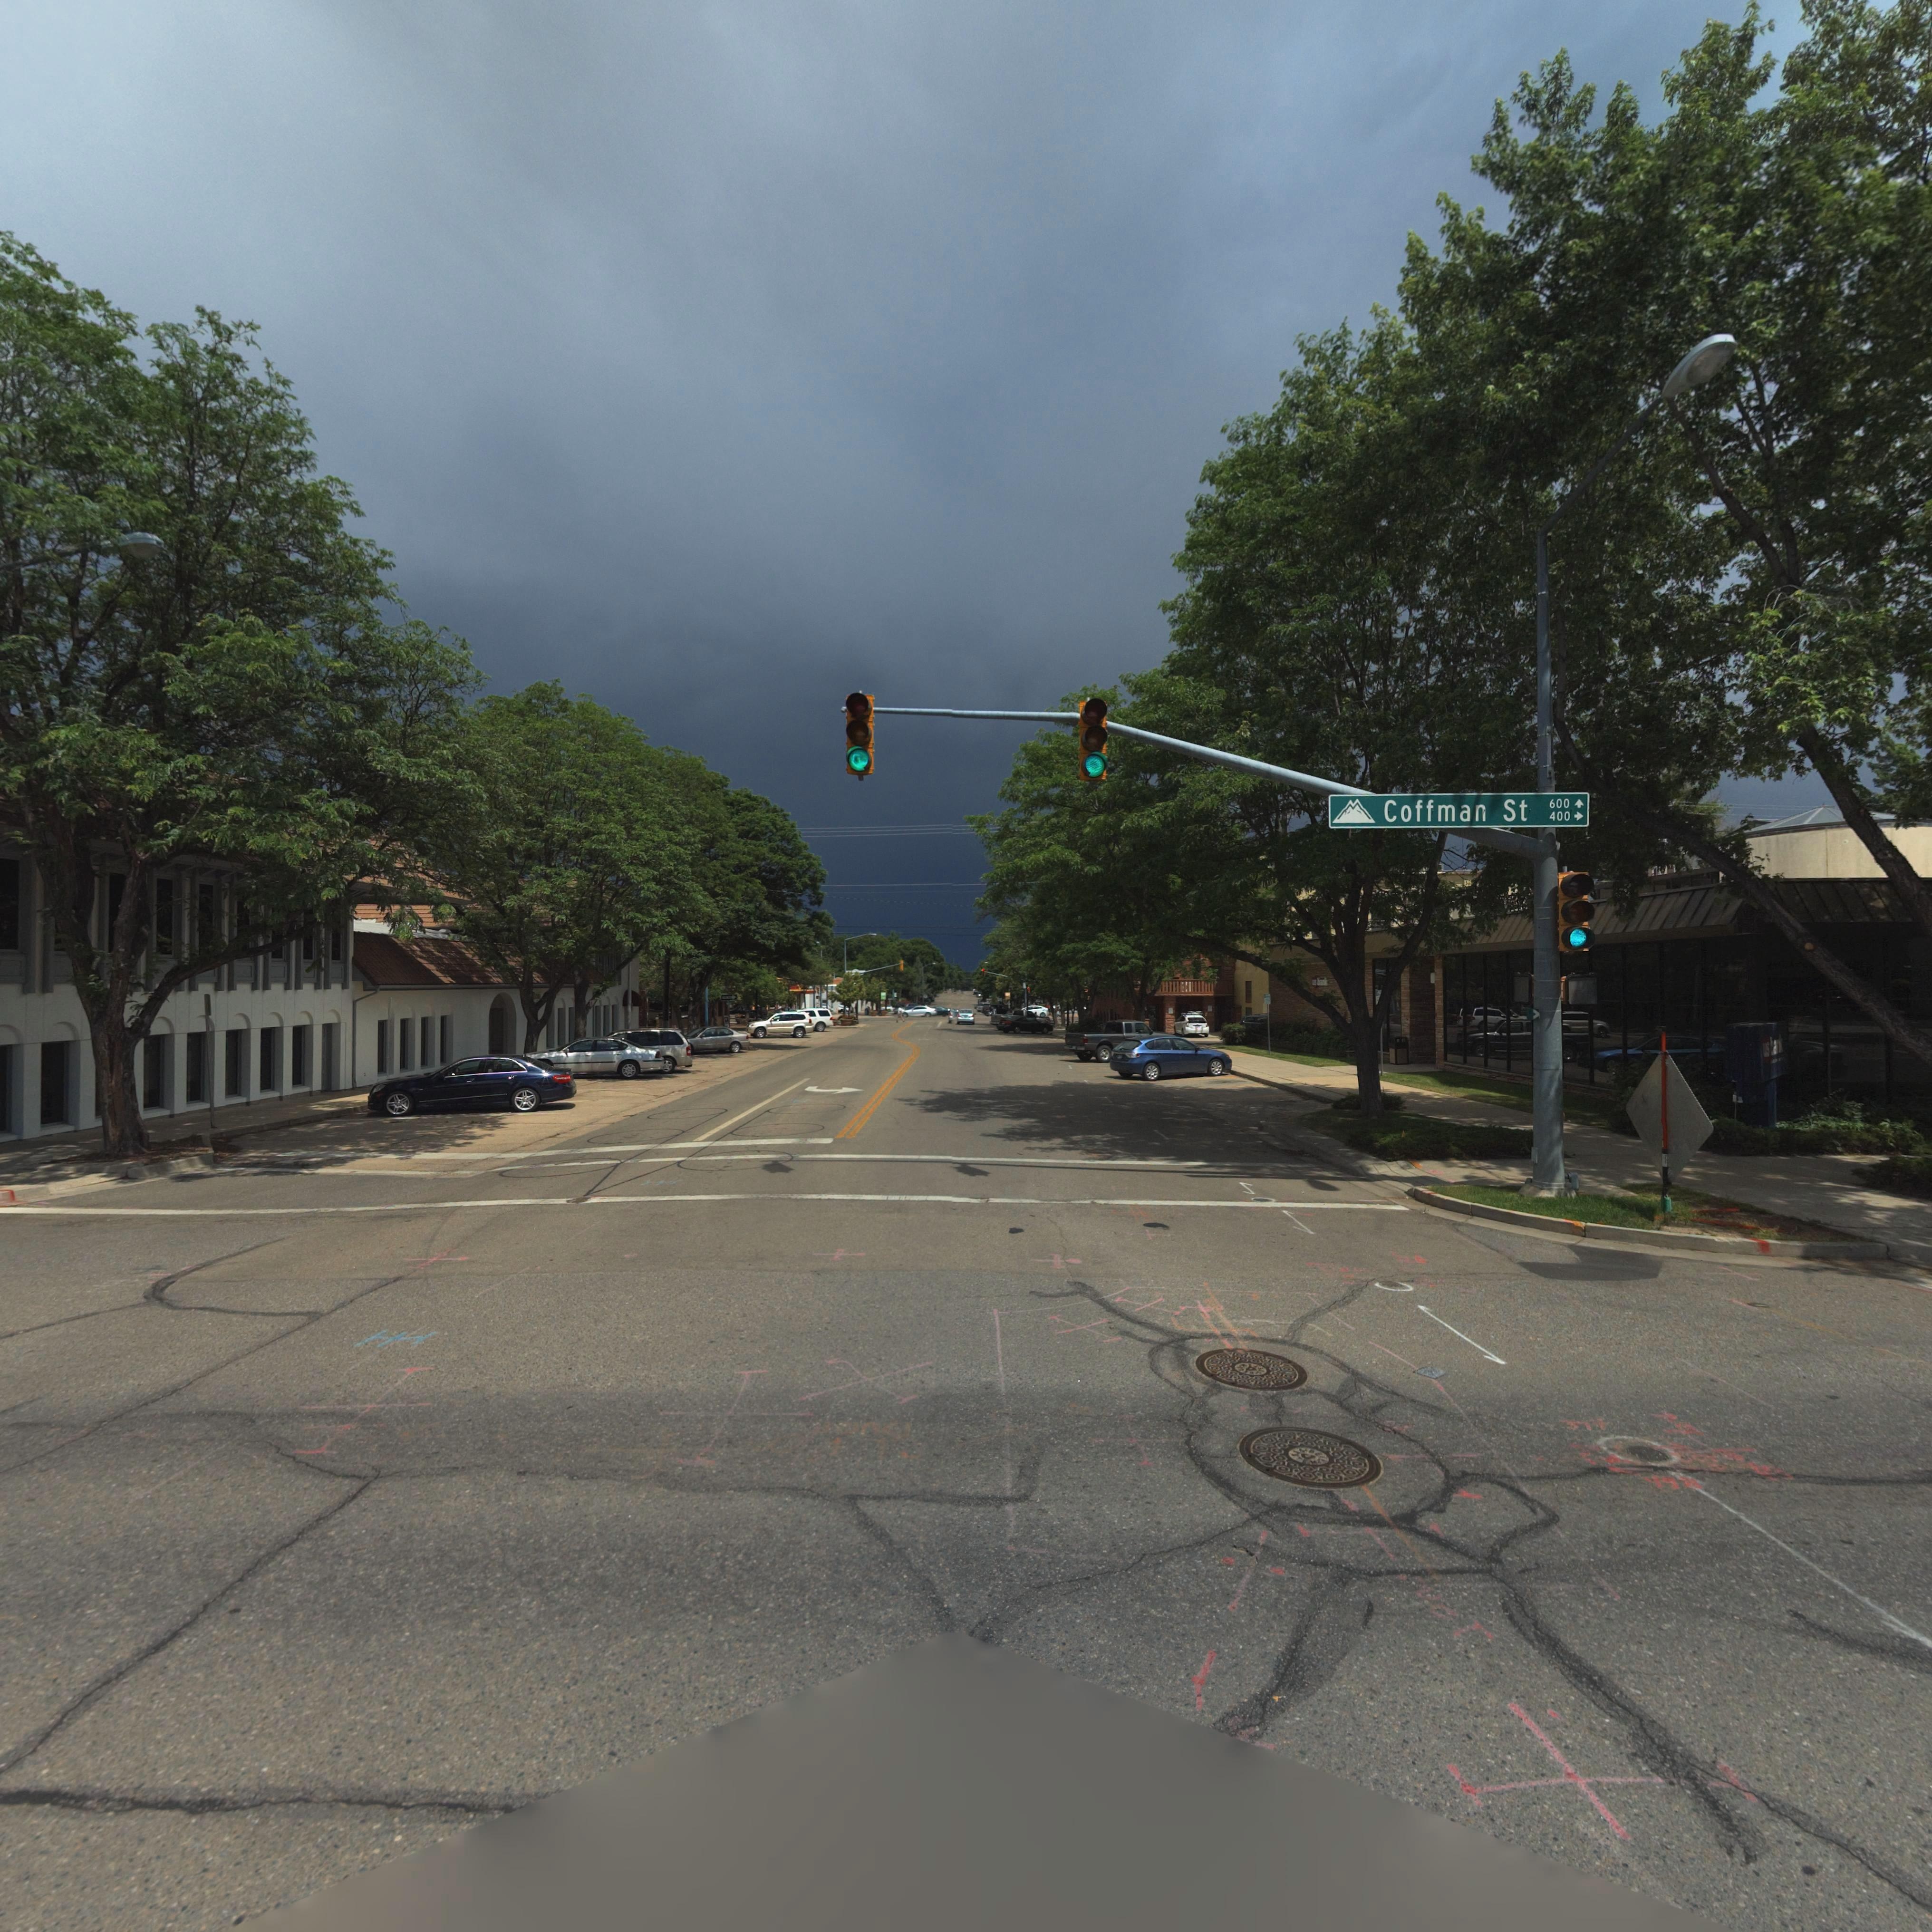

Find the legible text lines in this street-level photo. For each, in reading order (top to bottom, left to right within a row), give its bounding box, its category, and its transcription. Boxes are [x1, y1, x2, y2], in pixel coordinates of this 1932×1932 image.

[1548, 798, 1570, 808] StreetNumberRange: 600
[1383, 799, 1528, 822] StreetName: Coffman St
[1548, 811, 1584, 821] StreetNumberRange: 400->
[1312, 977, 1328, 986] BusinessName: usbank
[1761, 1034, 1784, 1058] BusinessName: usbank